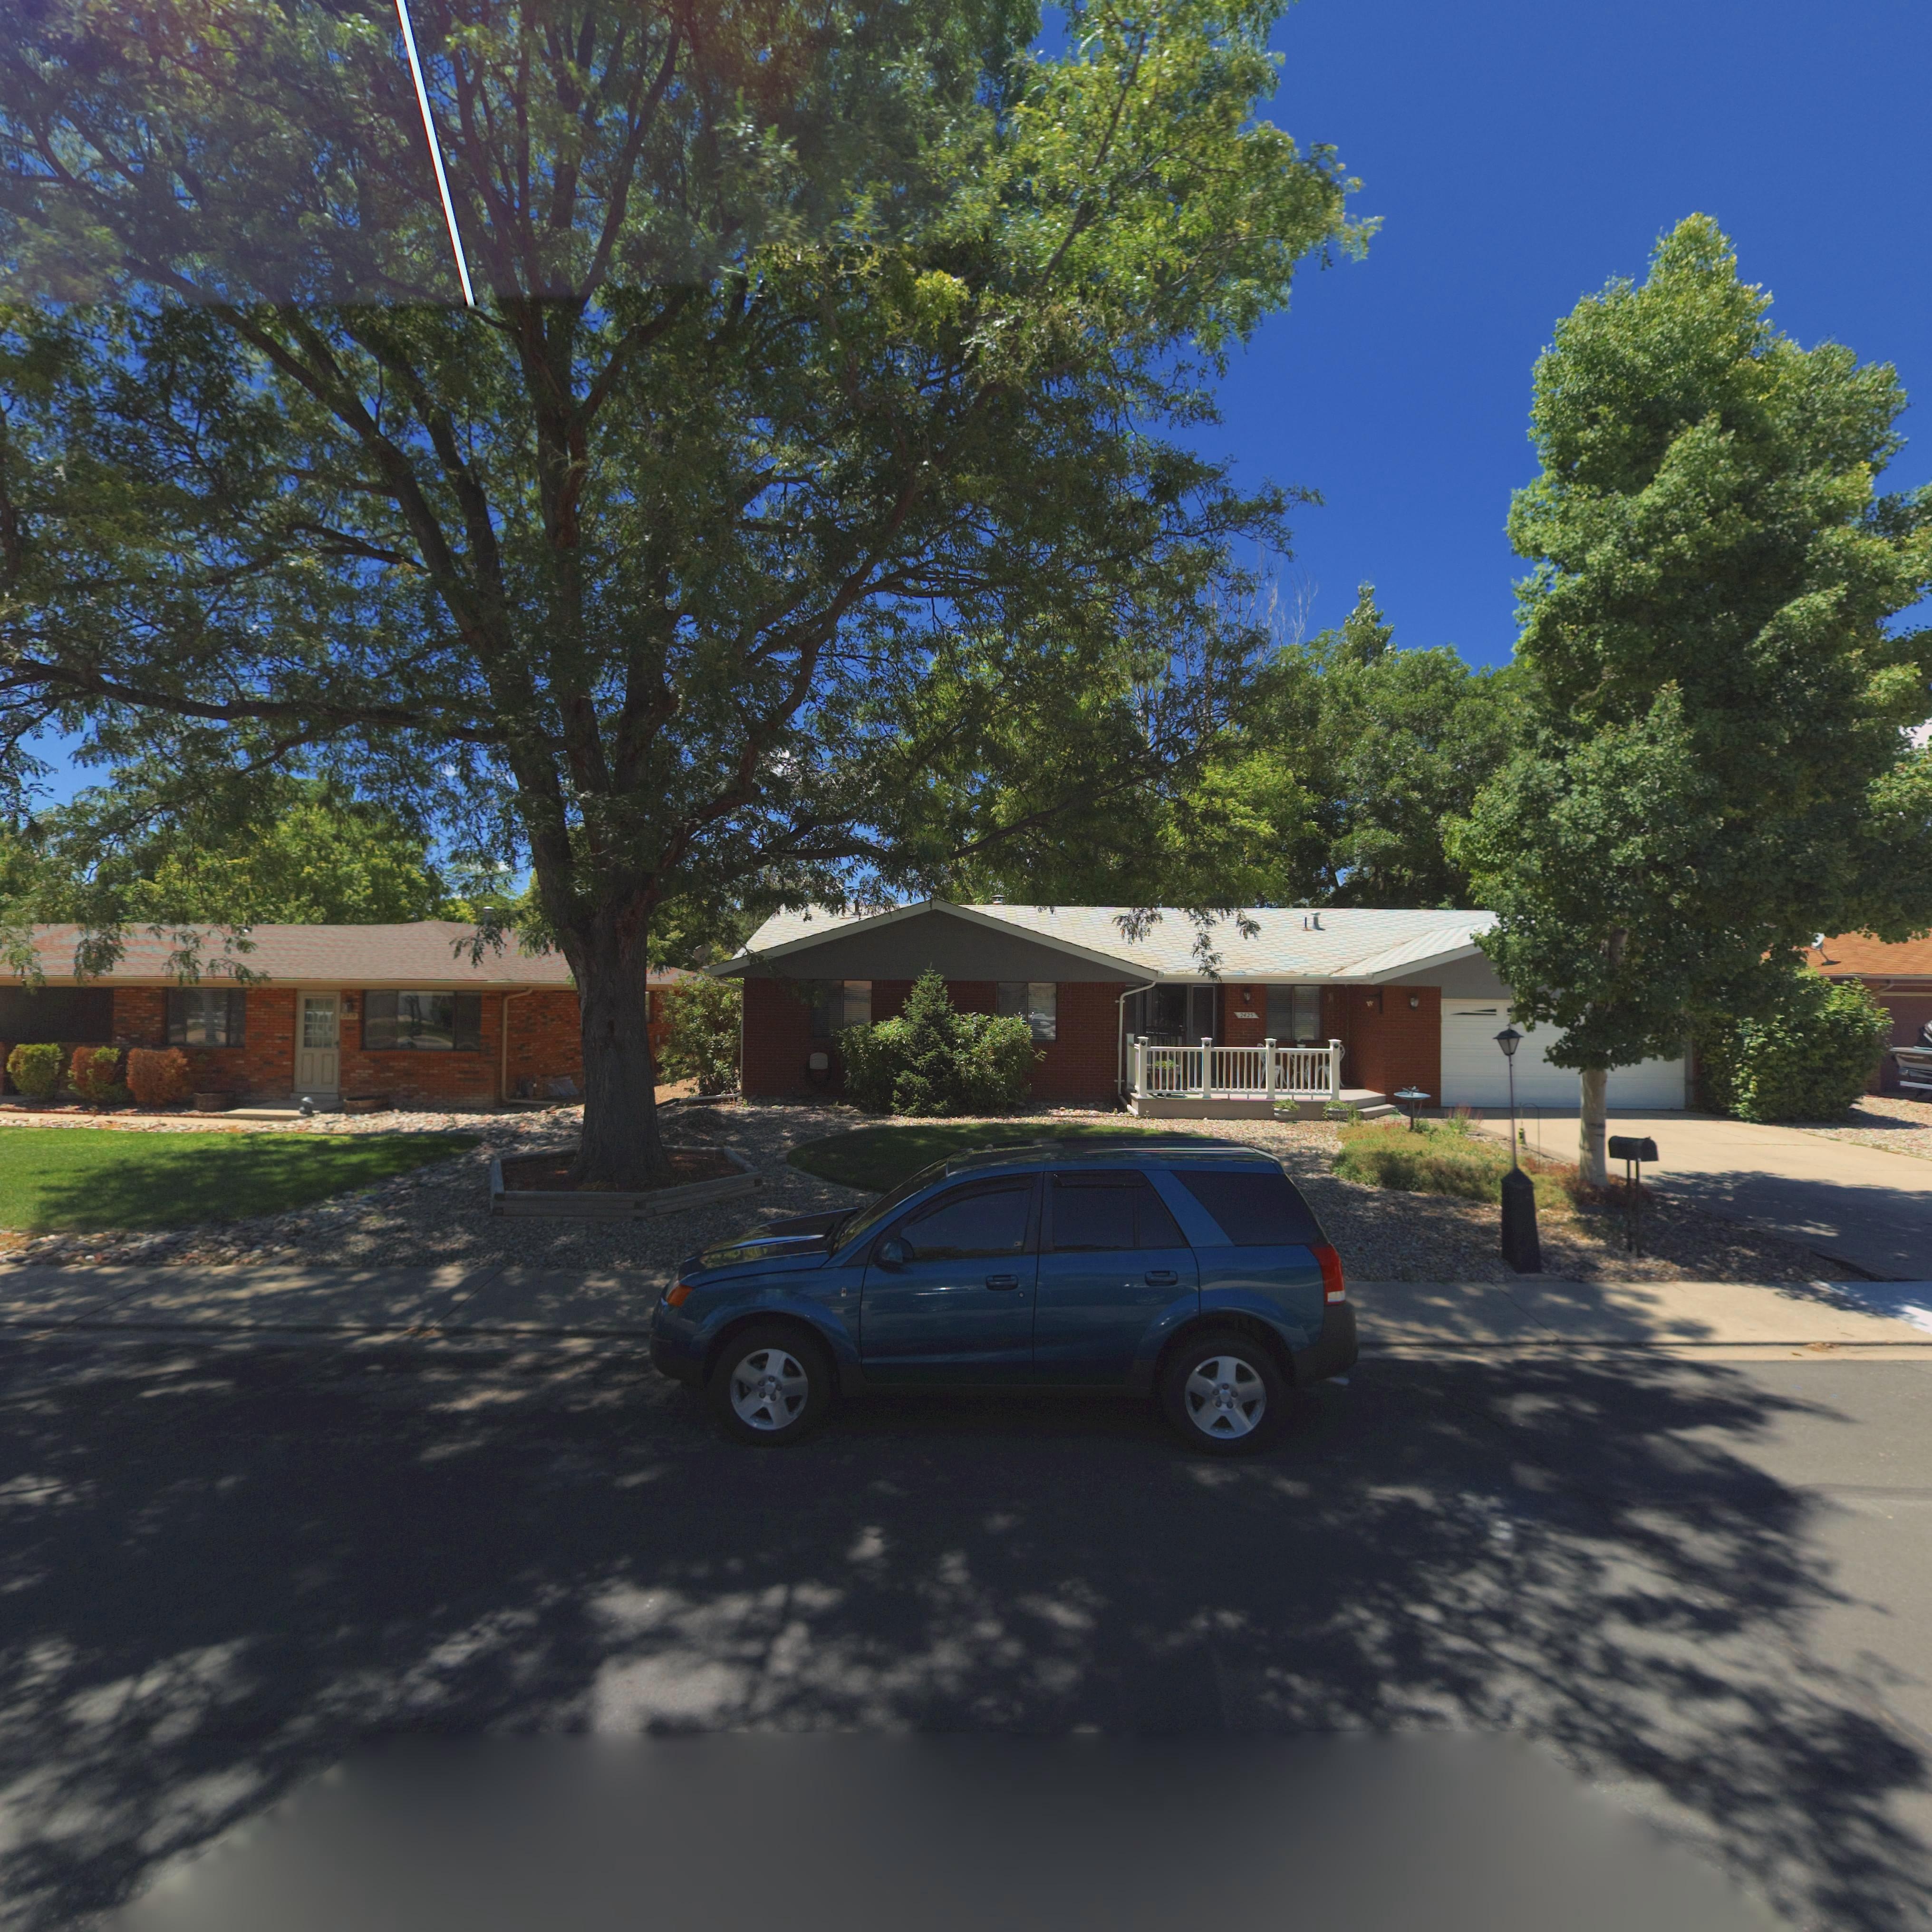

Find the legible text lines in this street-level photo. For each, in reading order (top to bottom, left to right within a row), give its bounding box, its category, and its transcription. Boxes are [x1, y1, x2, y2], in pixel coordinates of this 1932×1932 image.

[341, 1013, 356, 1019] StreetNumber: 2419
[1239, 1013, 1253, 1017] StreetNumber: 2425